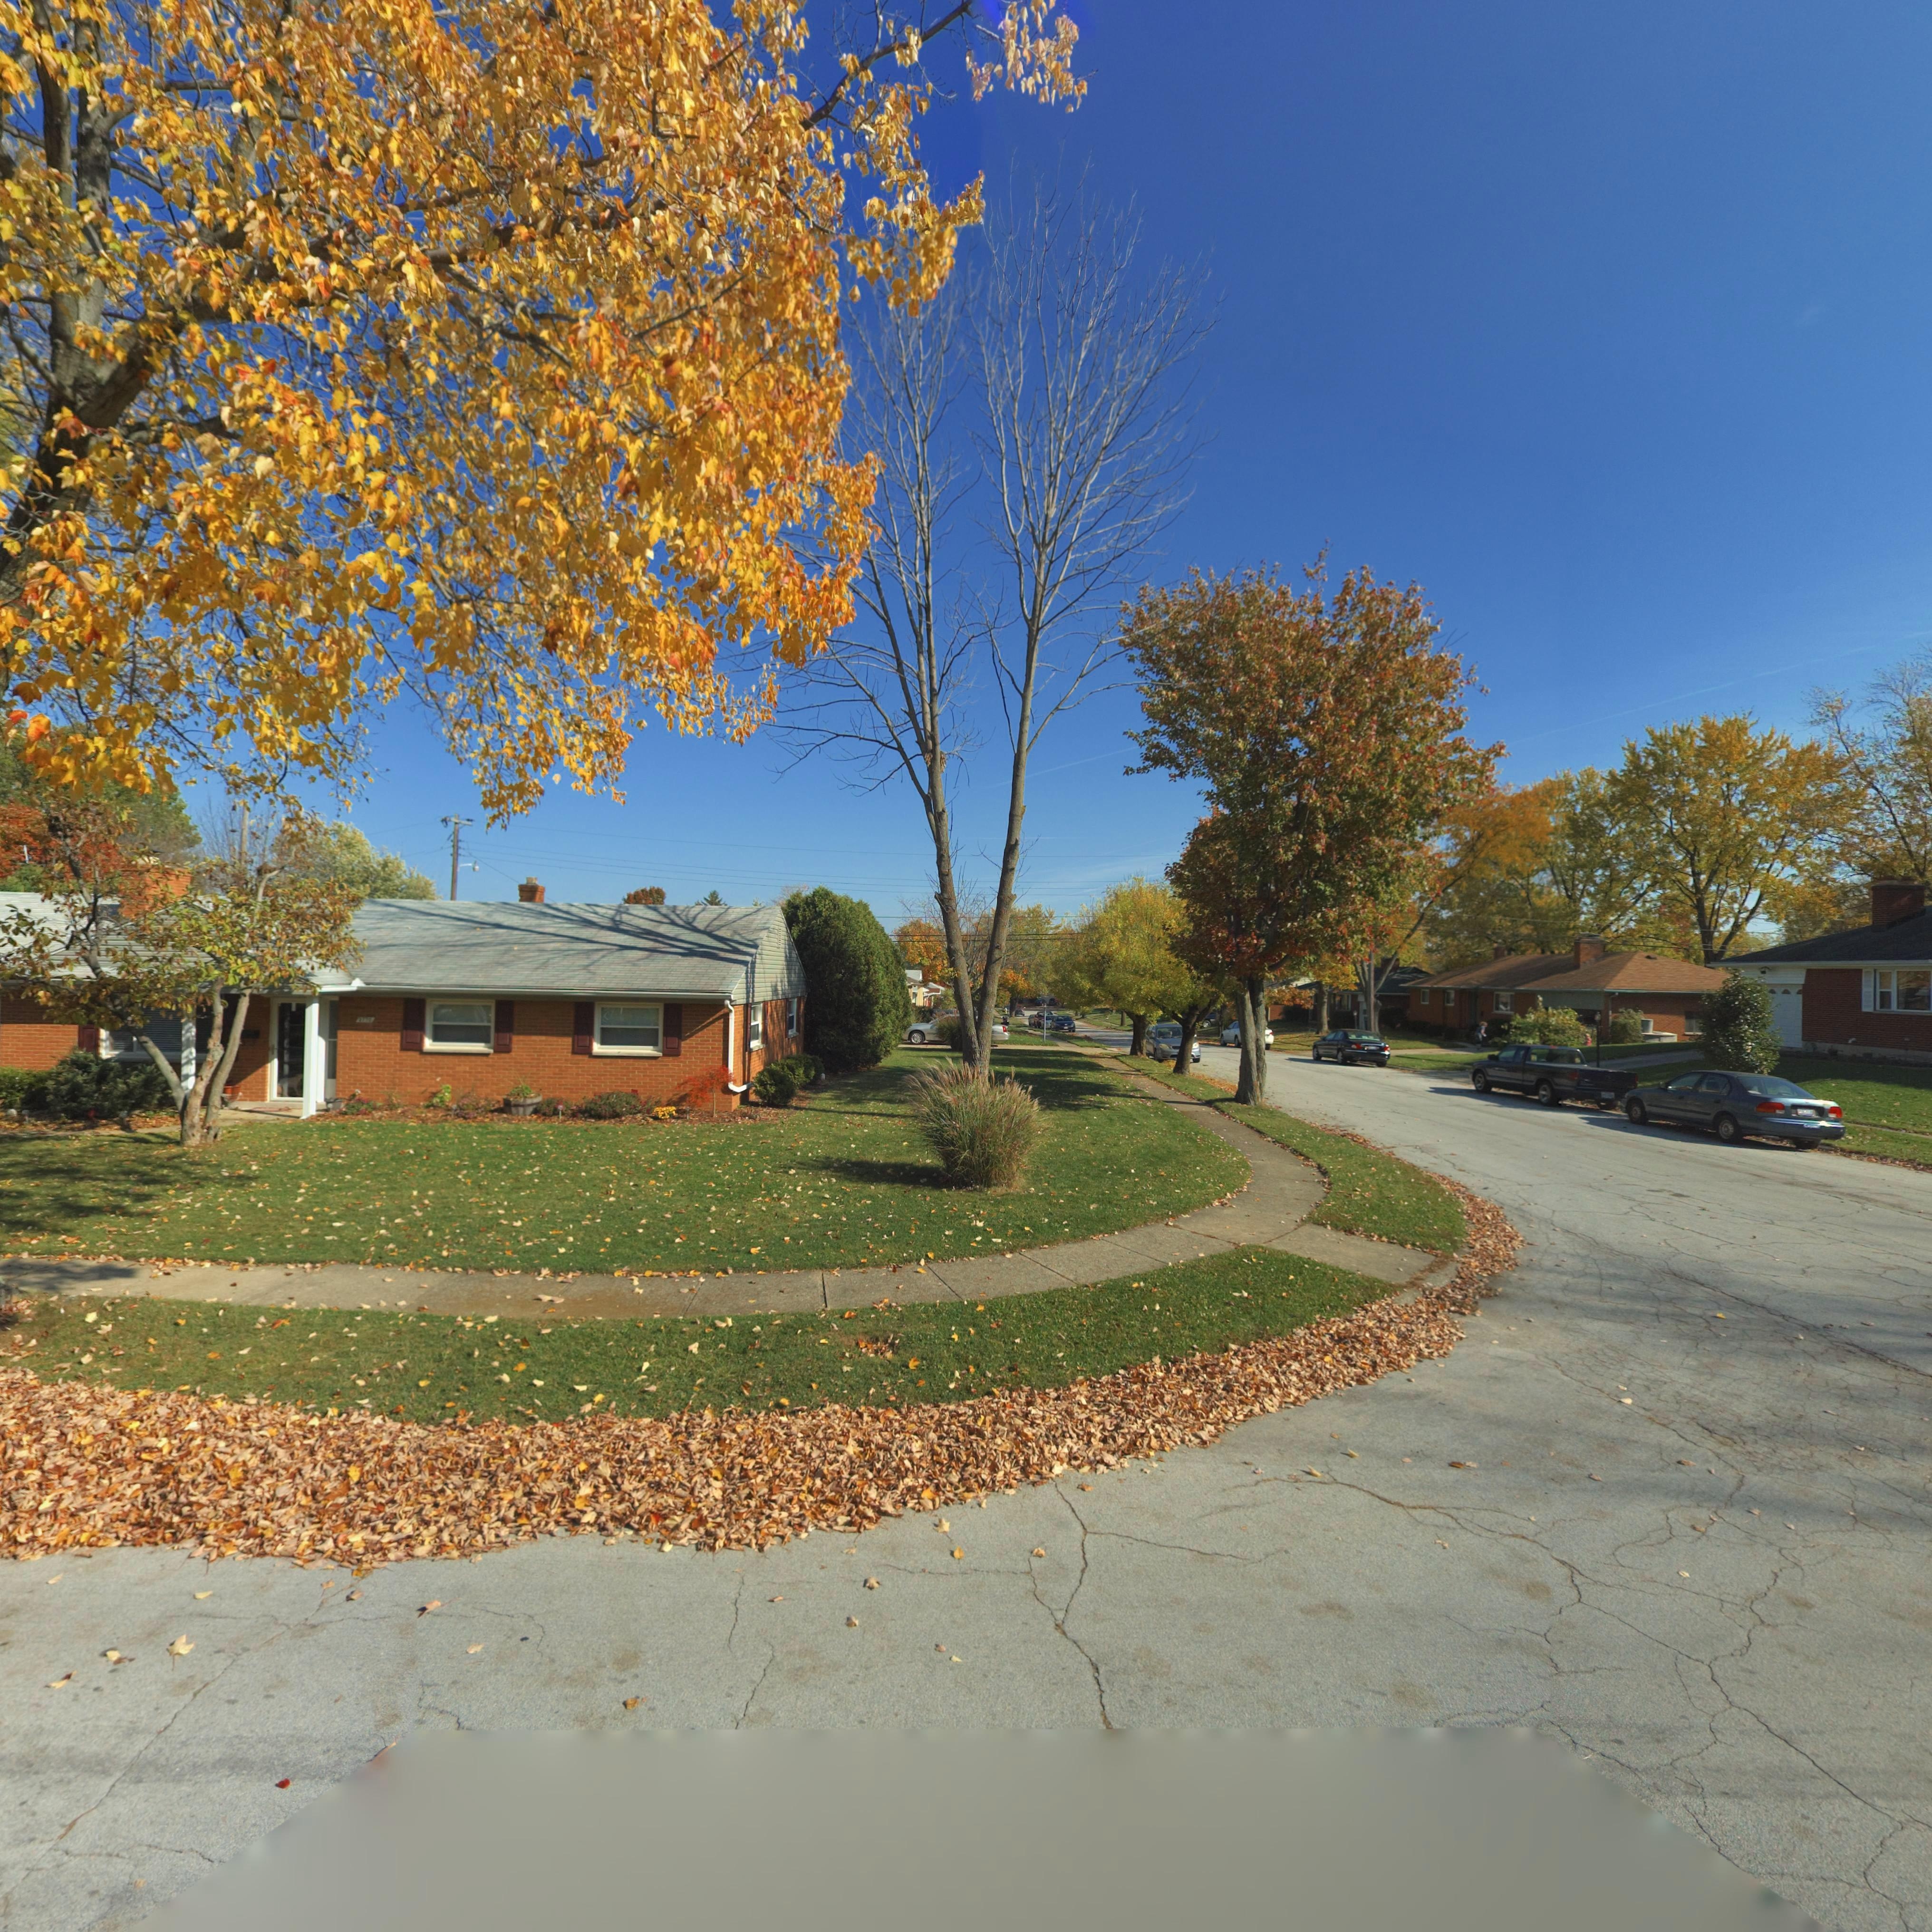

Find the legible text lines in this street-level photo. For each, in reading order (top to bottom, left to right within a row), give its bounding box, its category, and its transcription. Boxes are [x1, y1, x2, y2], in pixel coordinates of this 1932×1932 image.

[357, 1017, 373, 1023] StreetNumber: 3770